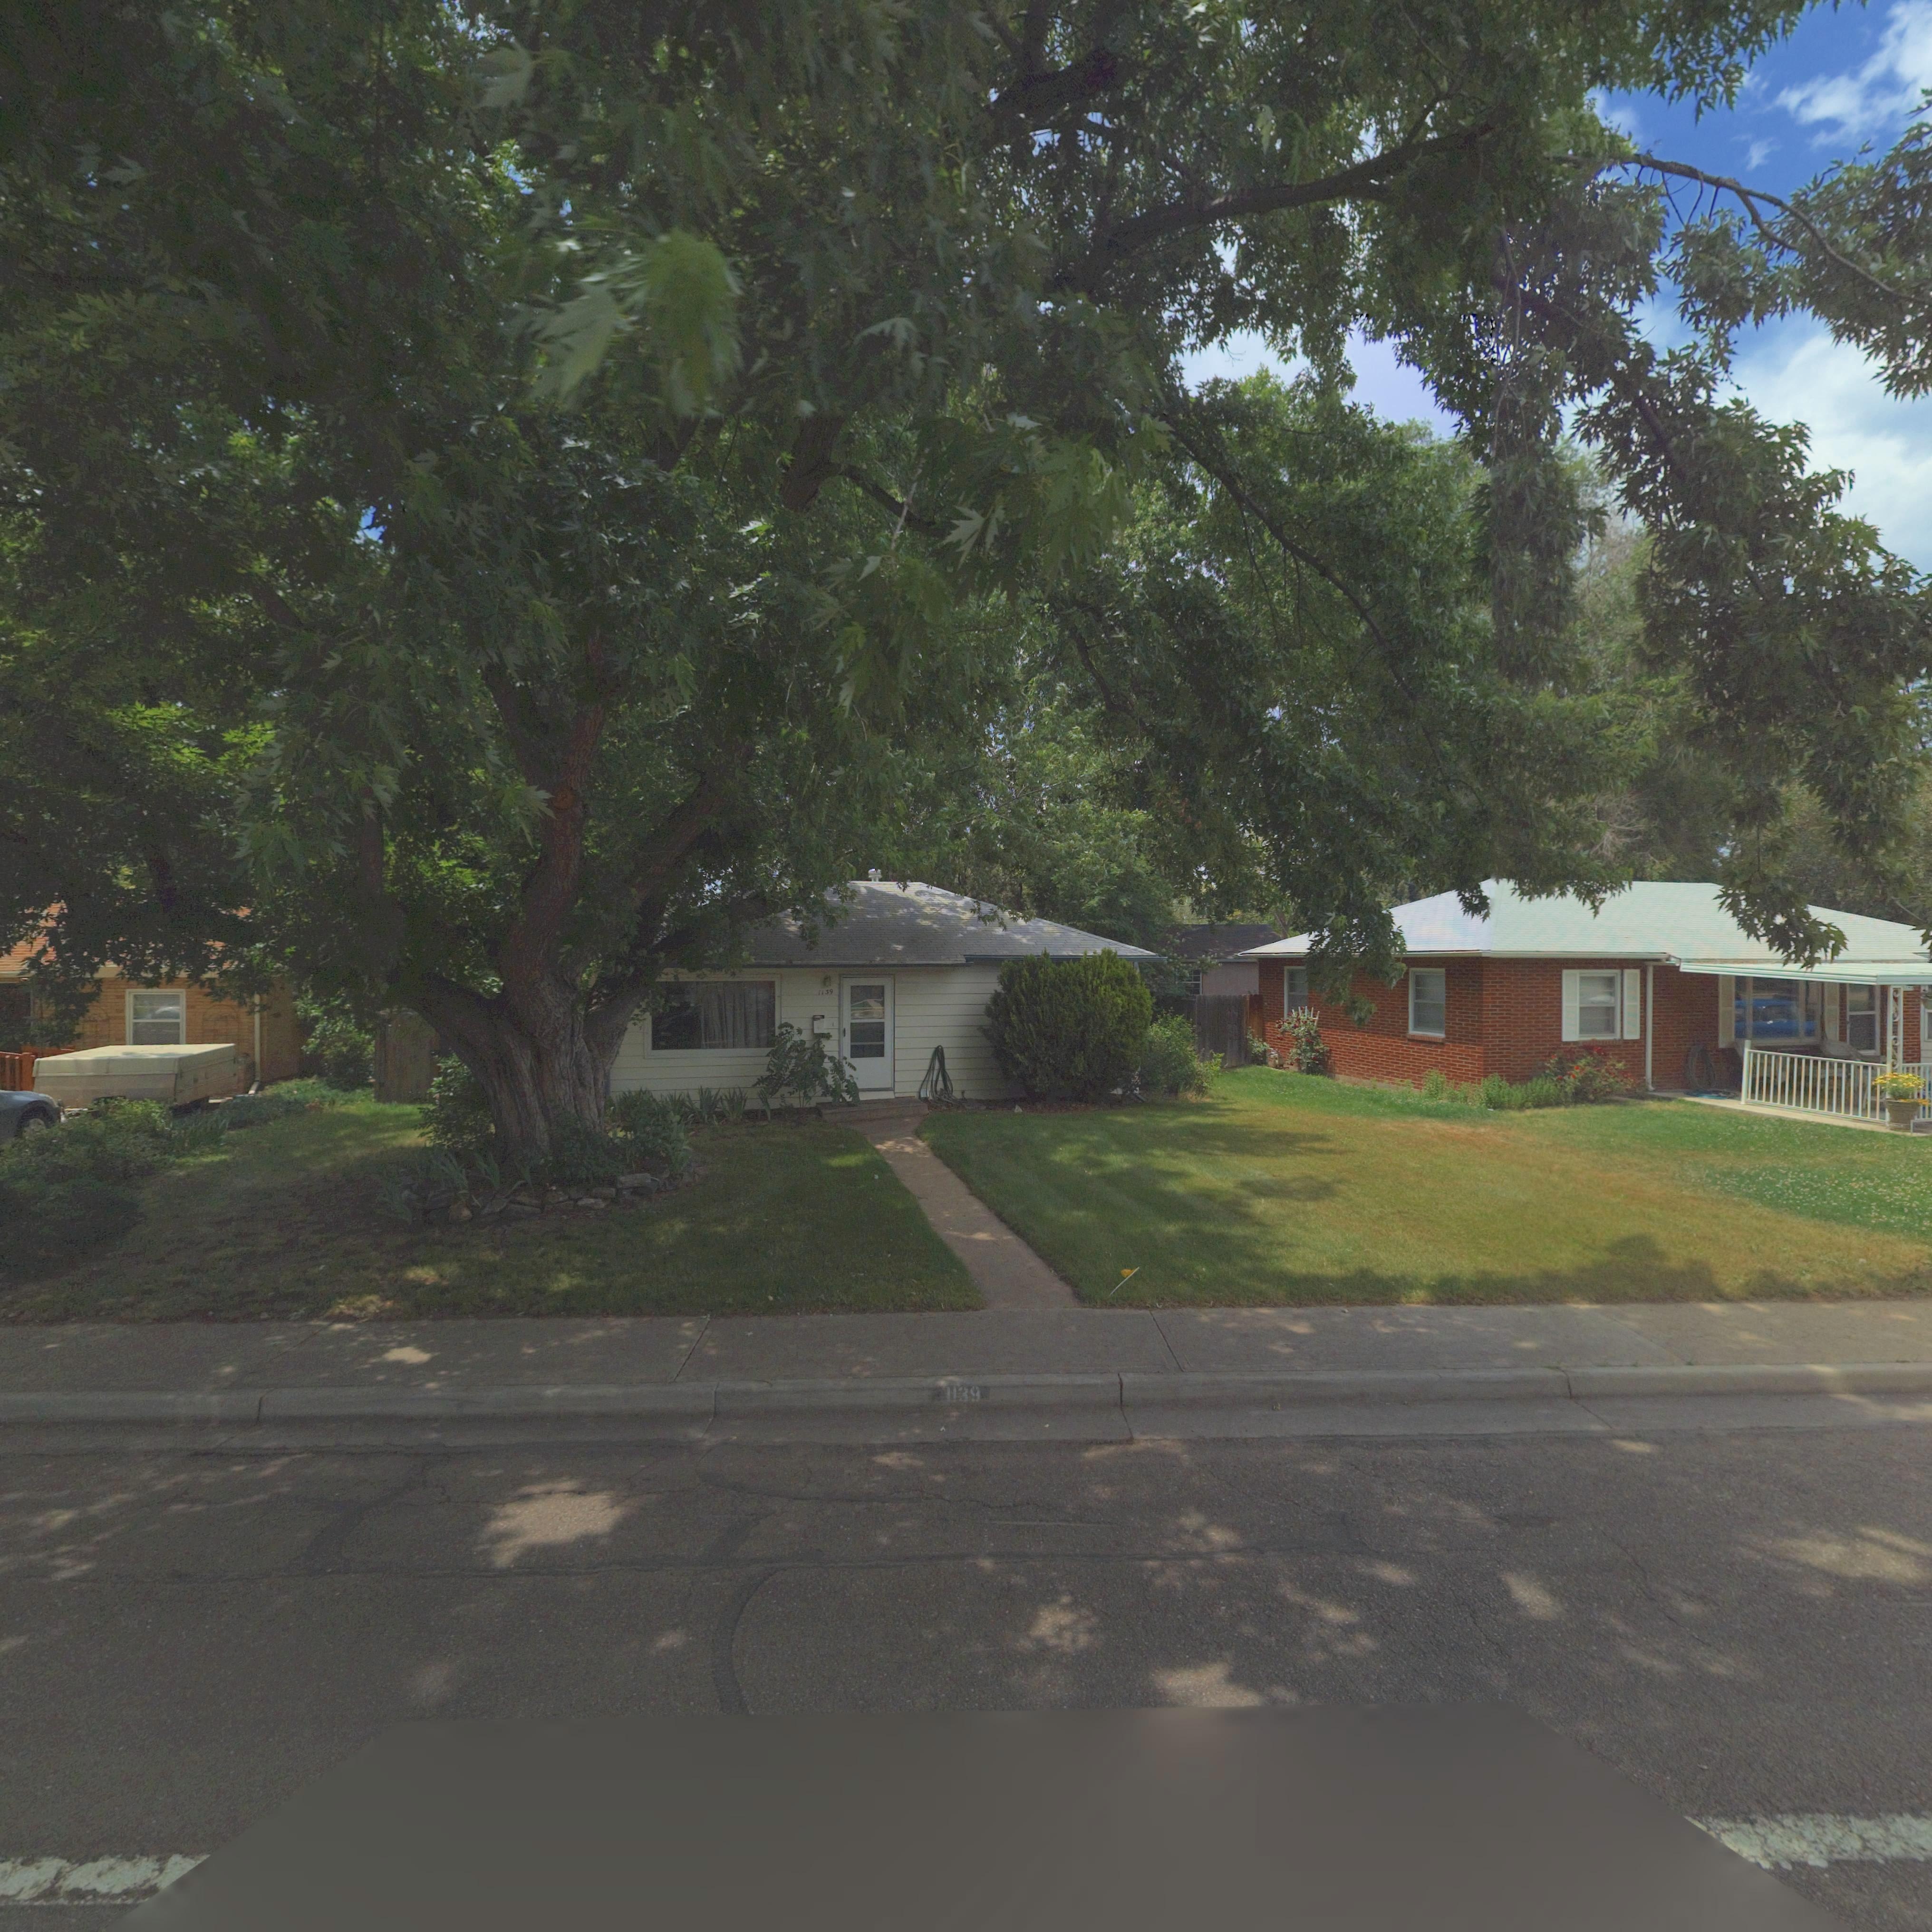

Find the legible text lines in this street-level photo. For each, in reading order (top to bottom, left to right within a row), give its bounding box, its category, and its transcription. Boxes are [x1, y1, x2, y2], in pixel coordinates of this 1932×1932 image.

[818, 988, 833, 995] StreetNumber: 1139
[946, 1385, 981, 1403] StreetNumber: 1139